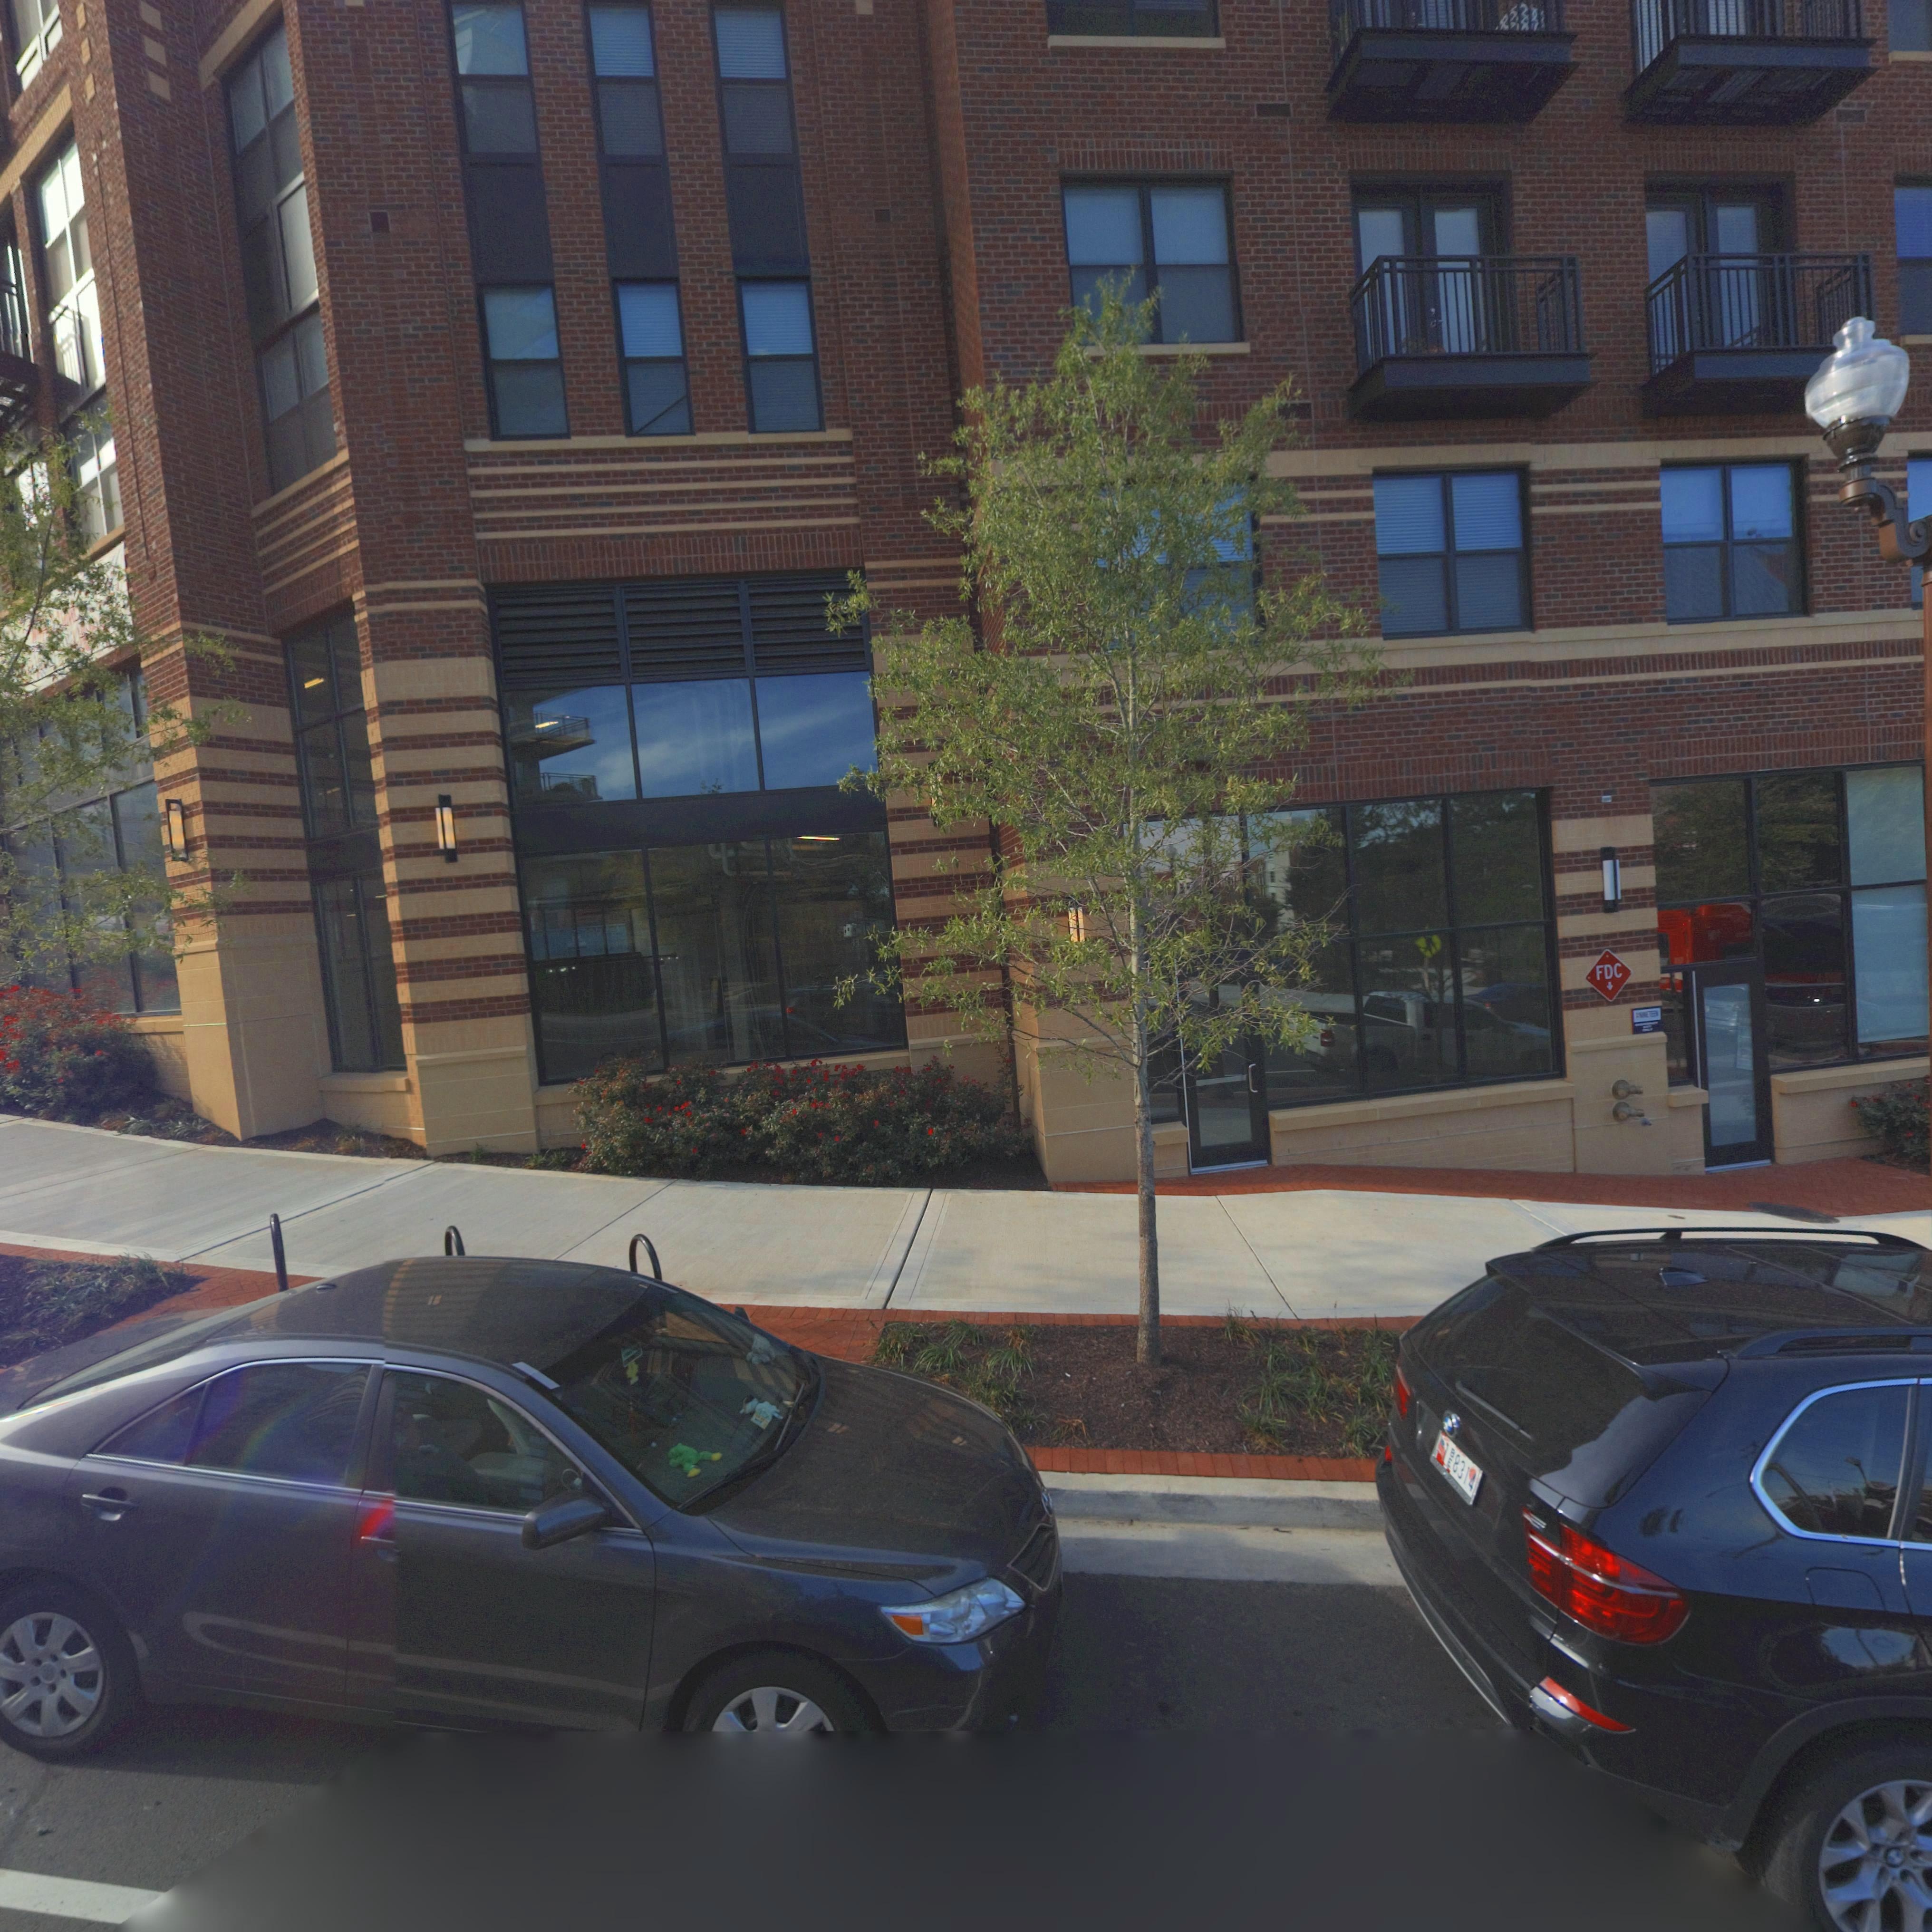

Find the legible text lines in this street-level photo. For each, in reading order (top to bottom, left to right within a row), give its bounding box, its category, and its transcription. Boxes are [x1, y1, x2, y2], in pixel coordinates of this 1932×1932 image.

[1594, 961, 1624, 982] None: FDC
[1445, 1445, 1457, 1469] None: BE
[1450, 1452, 1478, 1494] None: 8314